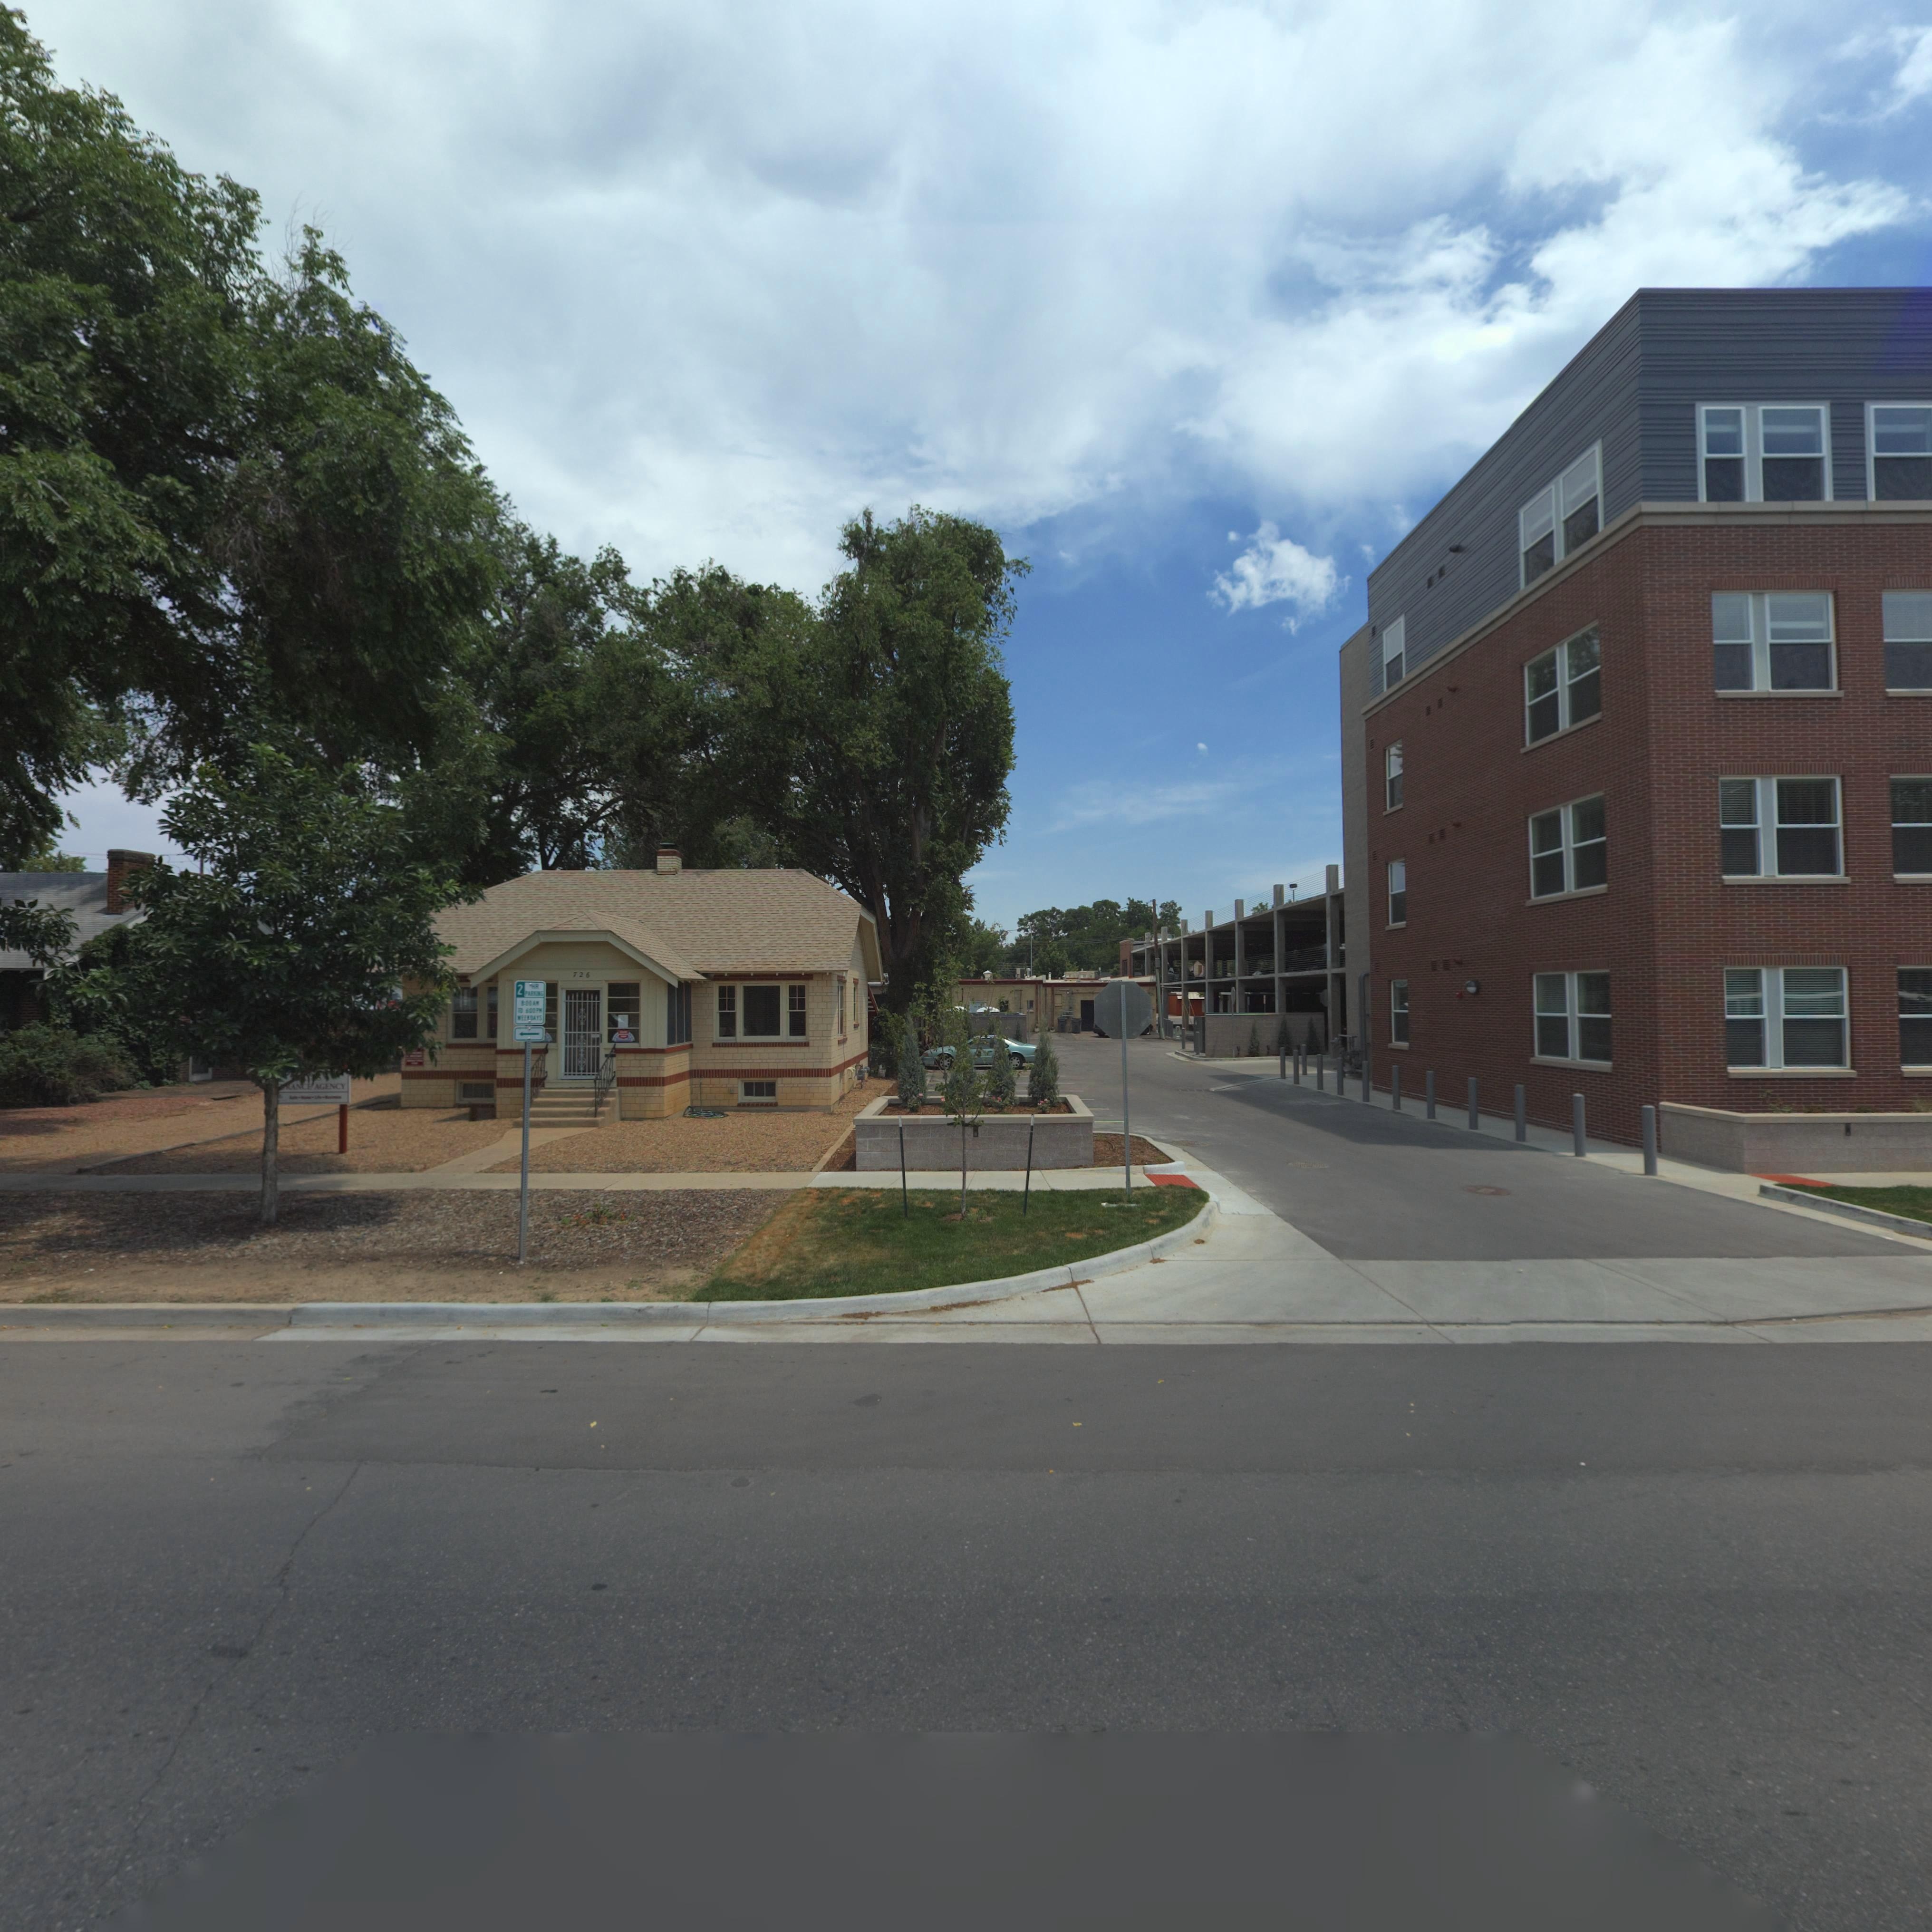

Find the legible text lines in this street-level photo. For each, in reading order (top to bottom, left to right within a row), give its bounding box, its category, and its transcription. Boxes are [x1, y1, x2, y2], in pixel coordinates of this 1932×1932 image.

[572, 971, 590, 978] StreetNumber: 726
[285, 1082, 347, 1091] BusinessName: *AN** AGENCY